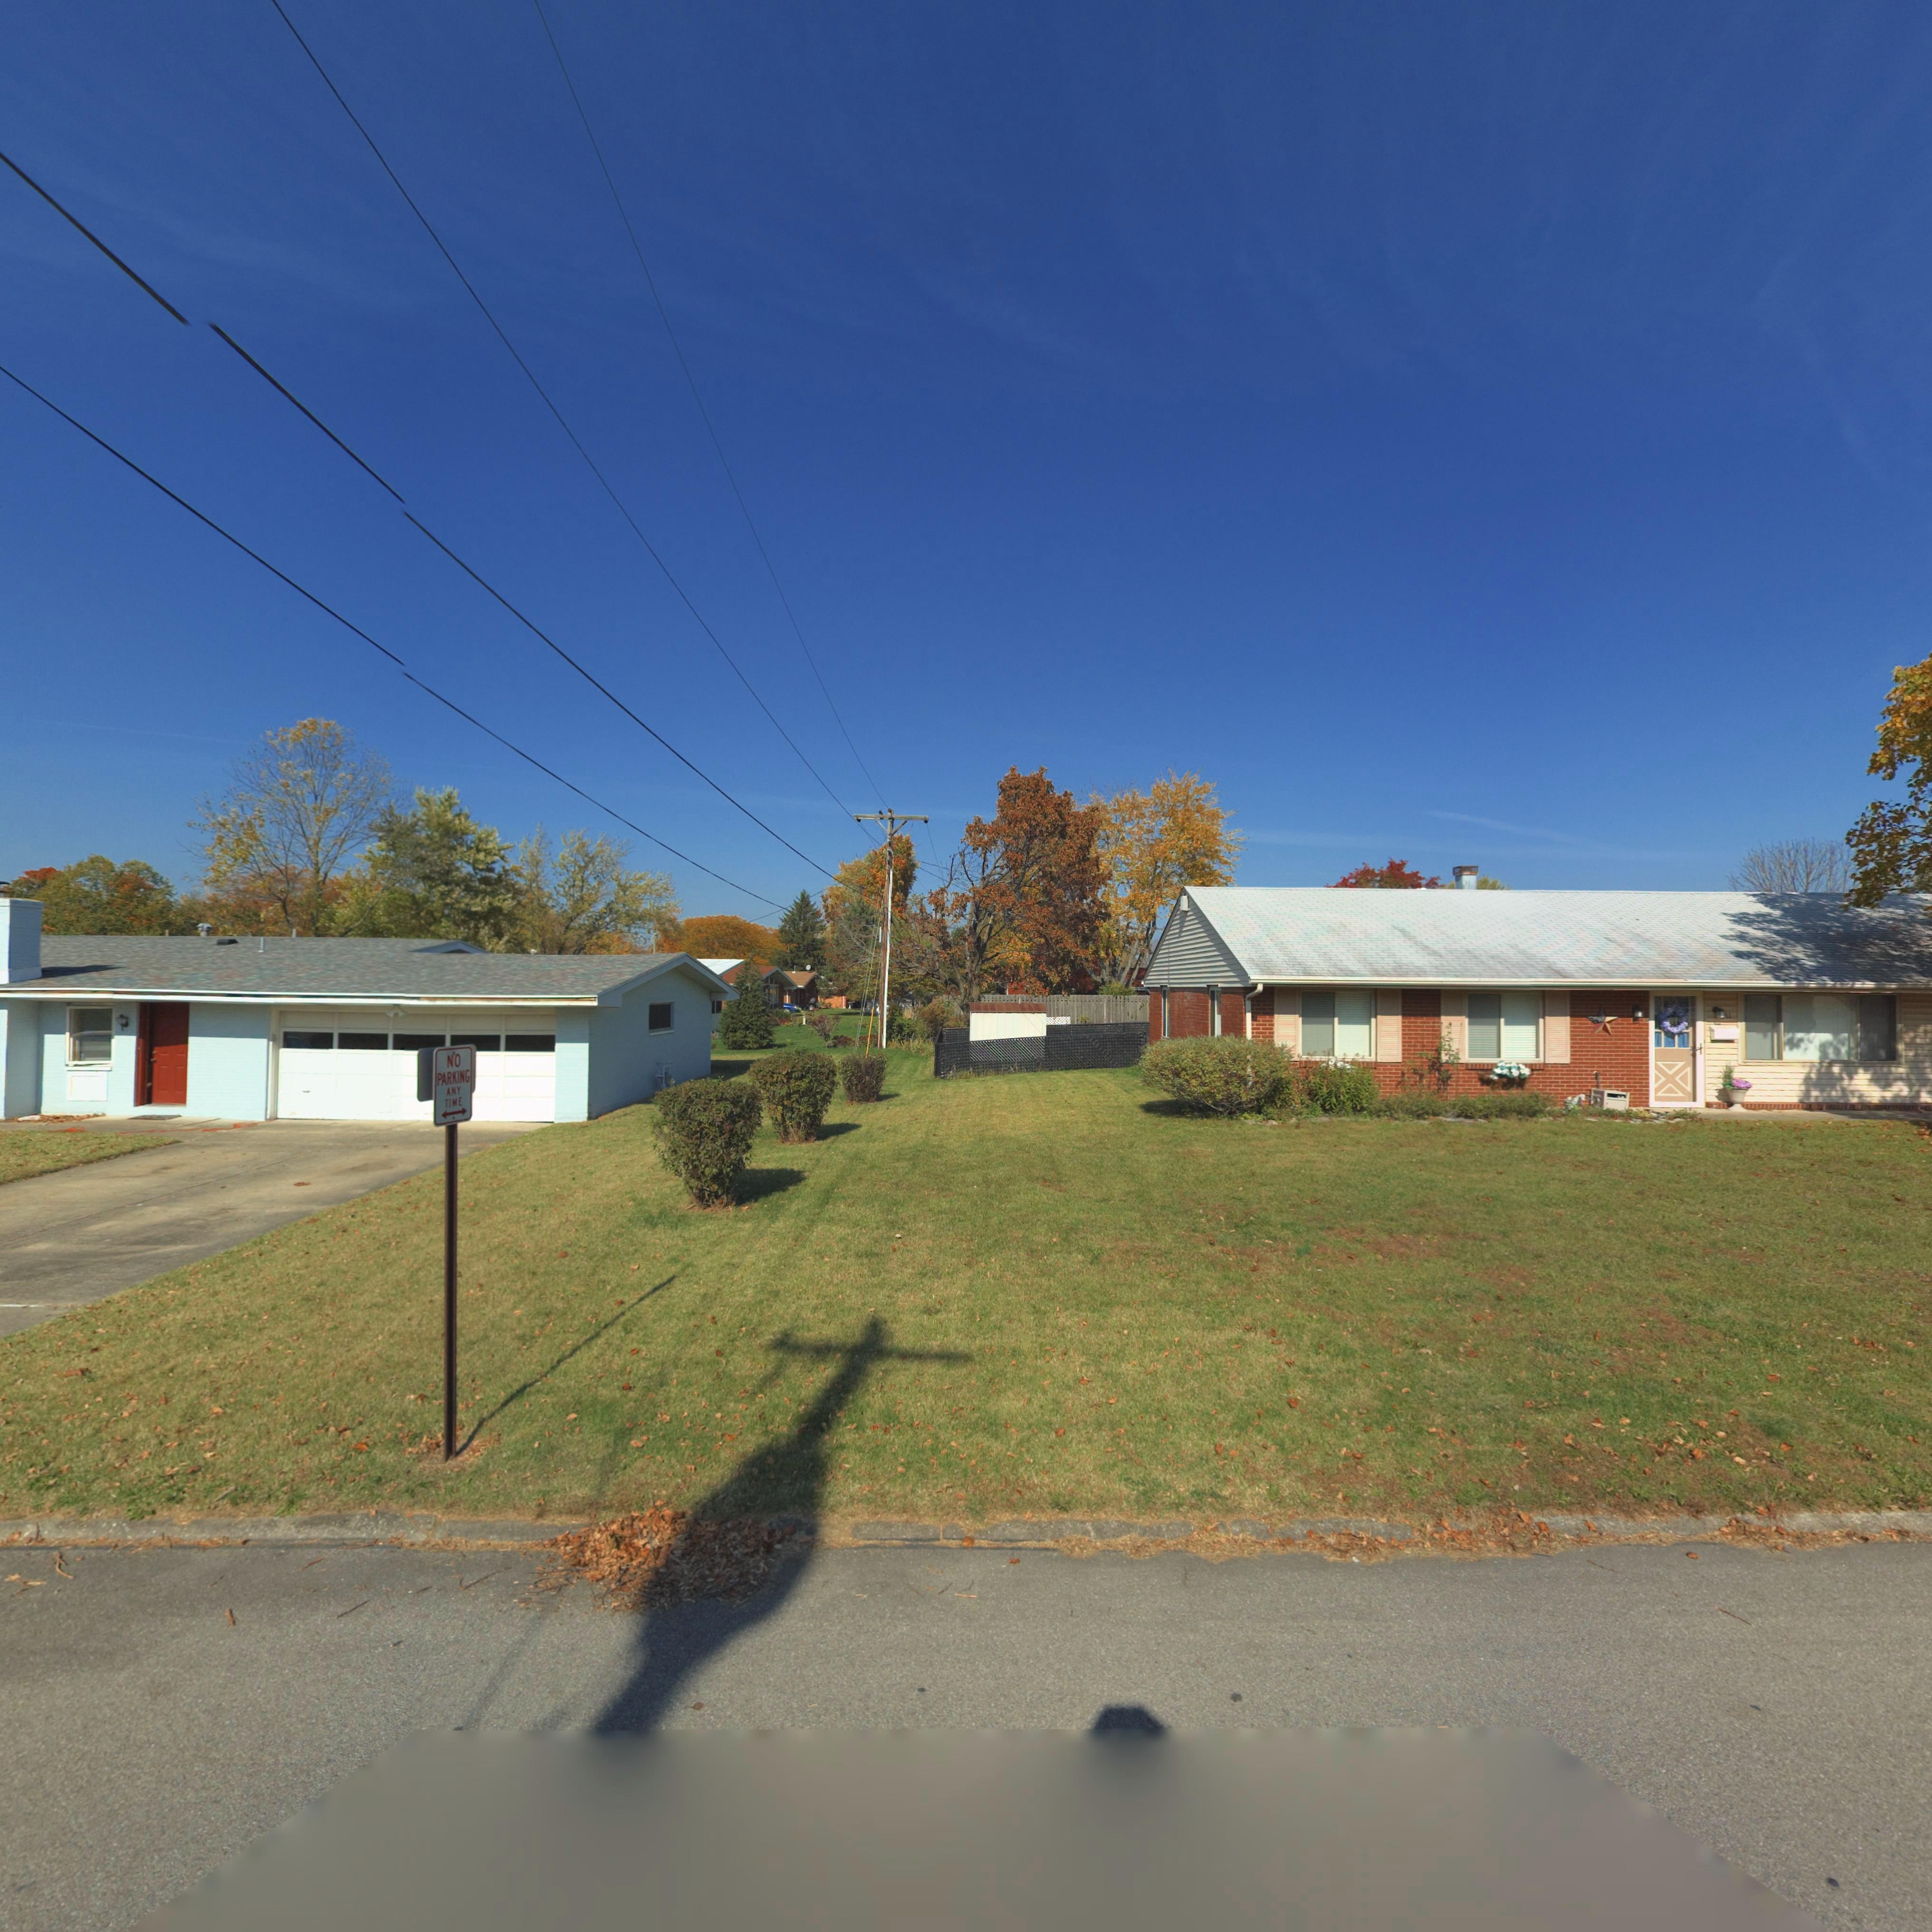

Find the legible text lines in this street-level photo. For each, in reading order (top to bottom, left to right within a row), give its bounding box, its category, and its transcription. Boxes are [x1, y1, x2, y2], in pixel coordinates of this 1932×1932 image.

[445, 1052, 463, 1070] None: NO
[436, 1067, 472, 1089] None: PARKING
[444, 1084, 463, 1098] None: ANY
[442, 1095, 464, 1110] None: TIME